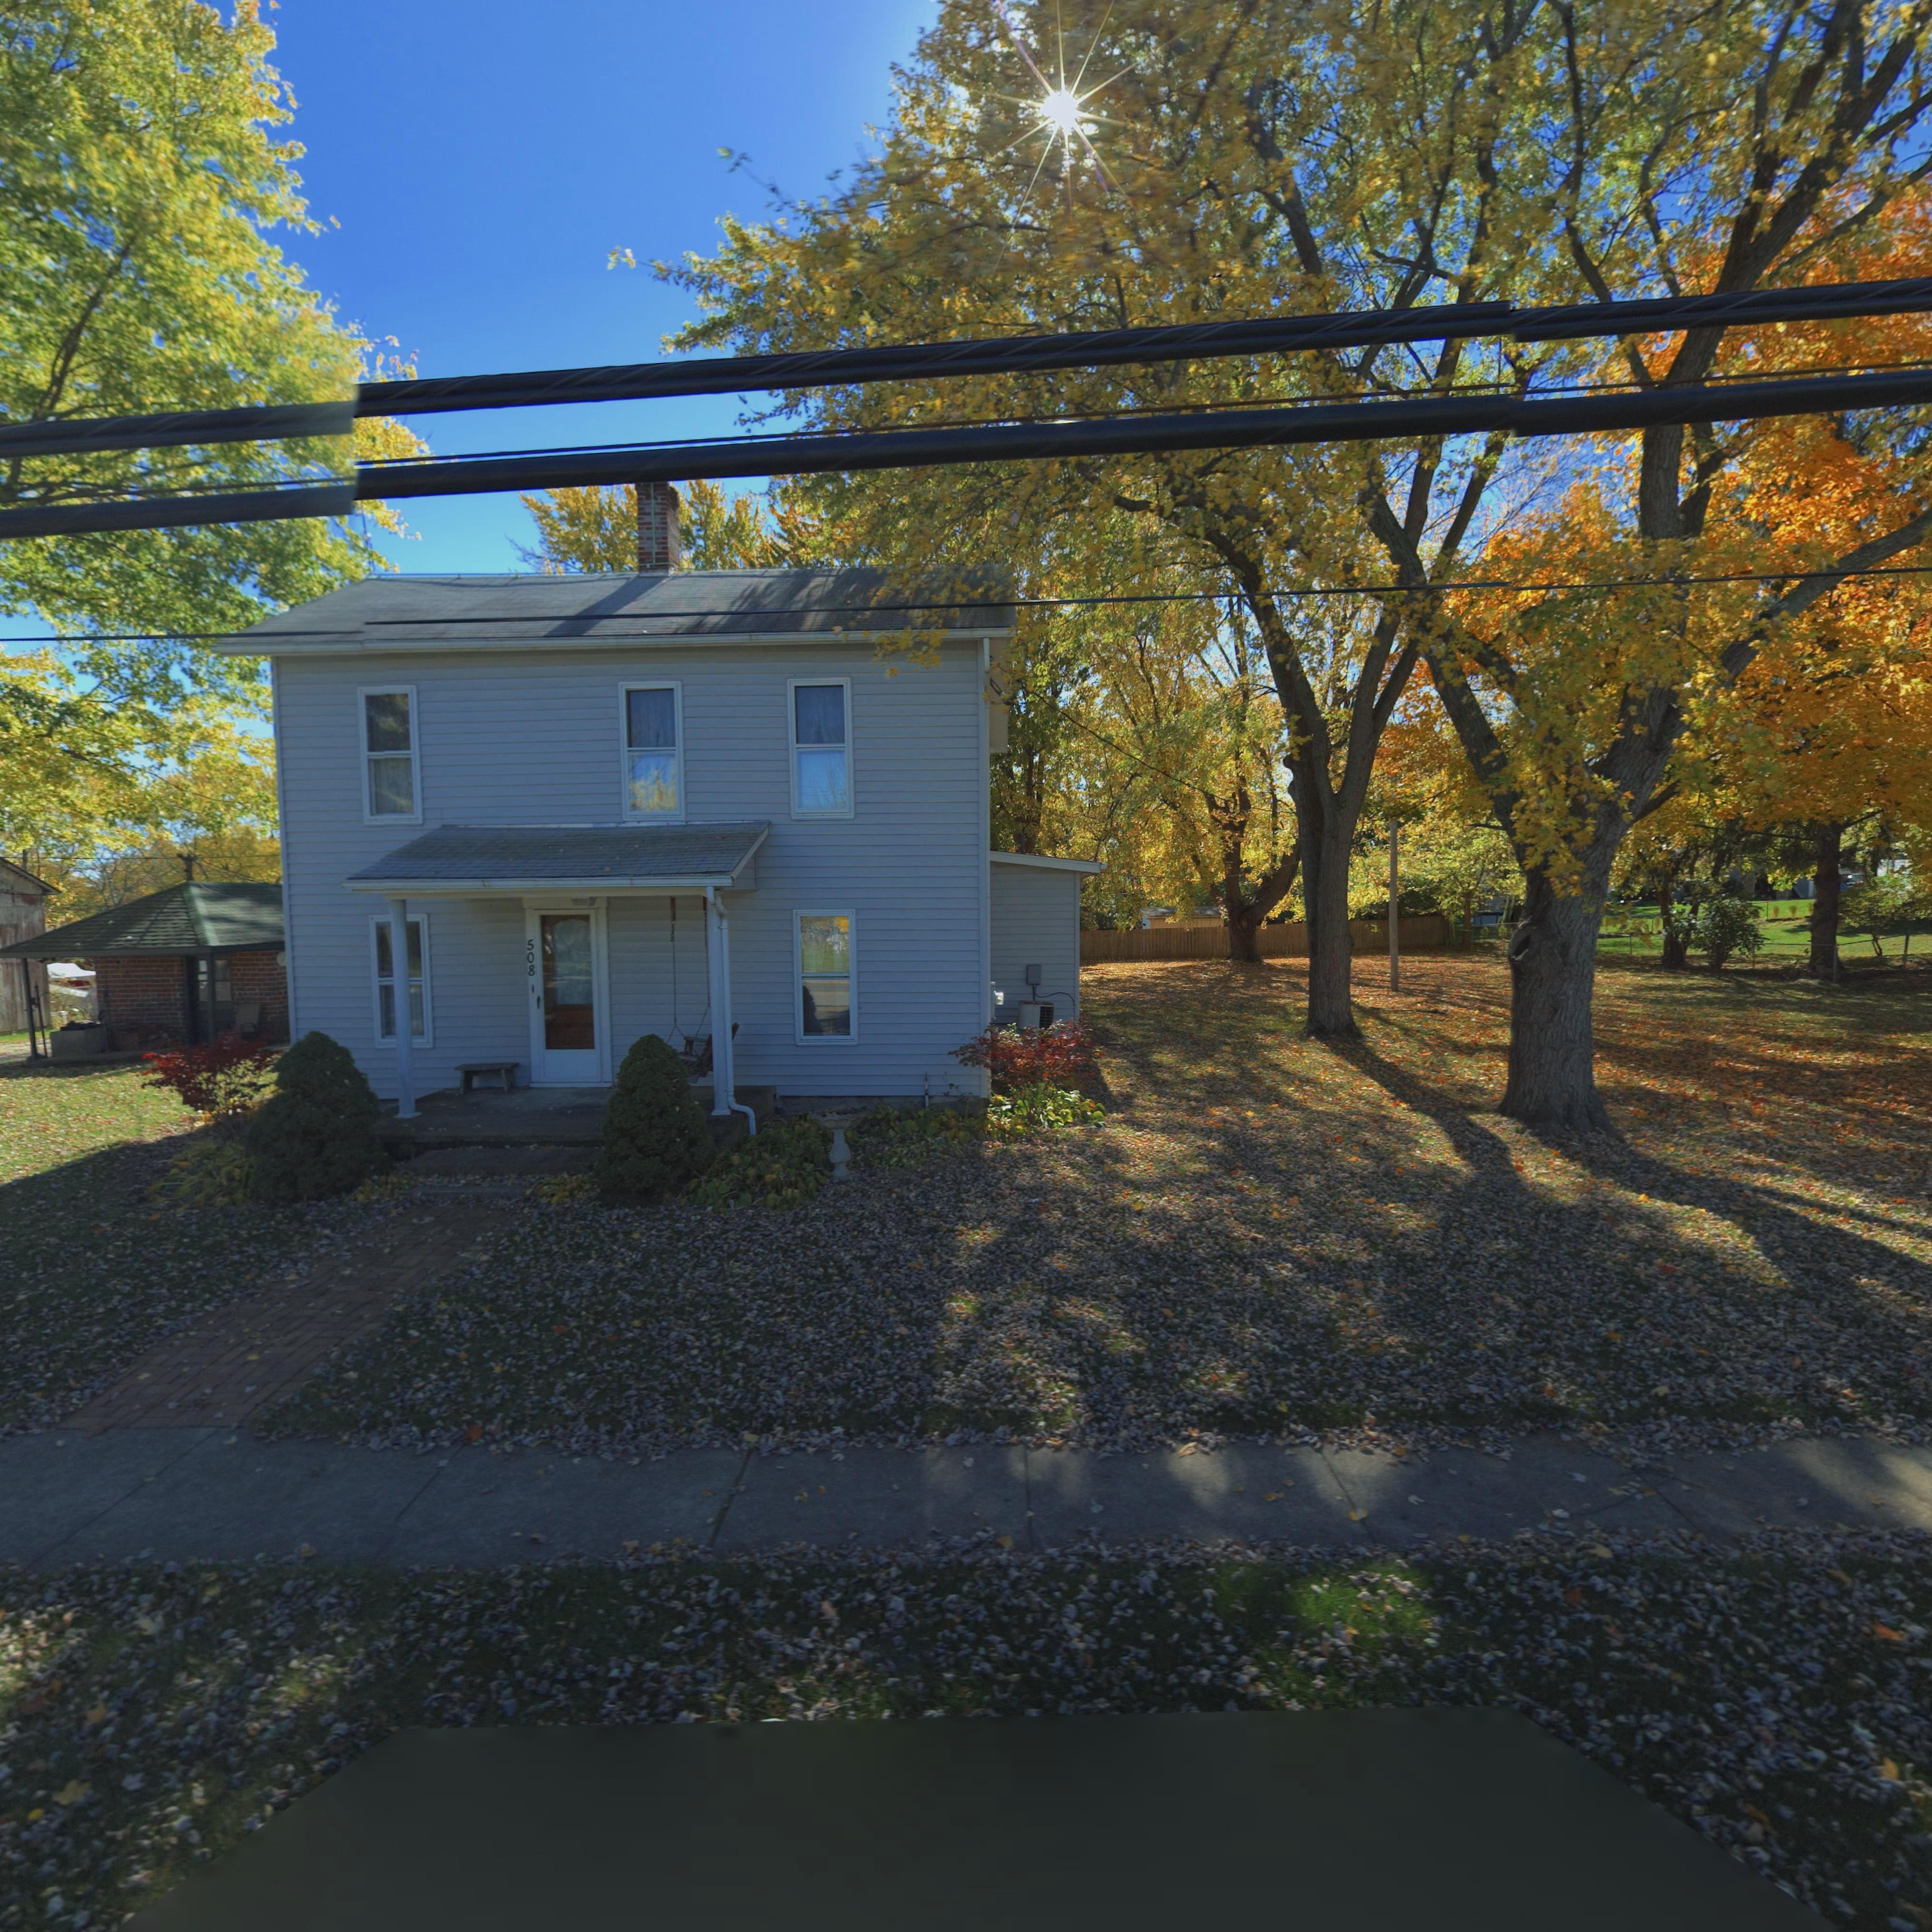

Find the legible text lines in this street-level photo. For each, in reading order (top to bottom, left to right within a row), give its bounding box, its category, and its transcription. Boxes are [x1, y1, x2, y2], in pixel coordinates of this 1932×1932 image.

[526, 937, 537, 978] StreetNumber: 508